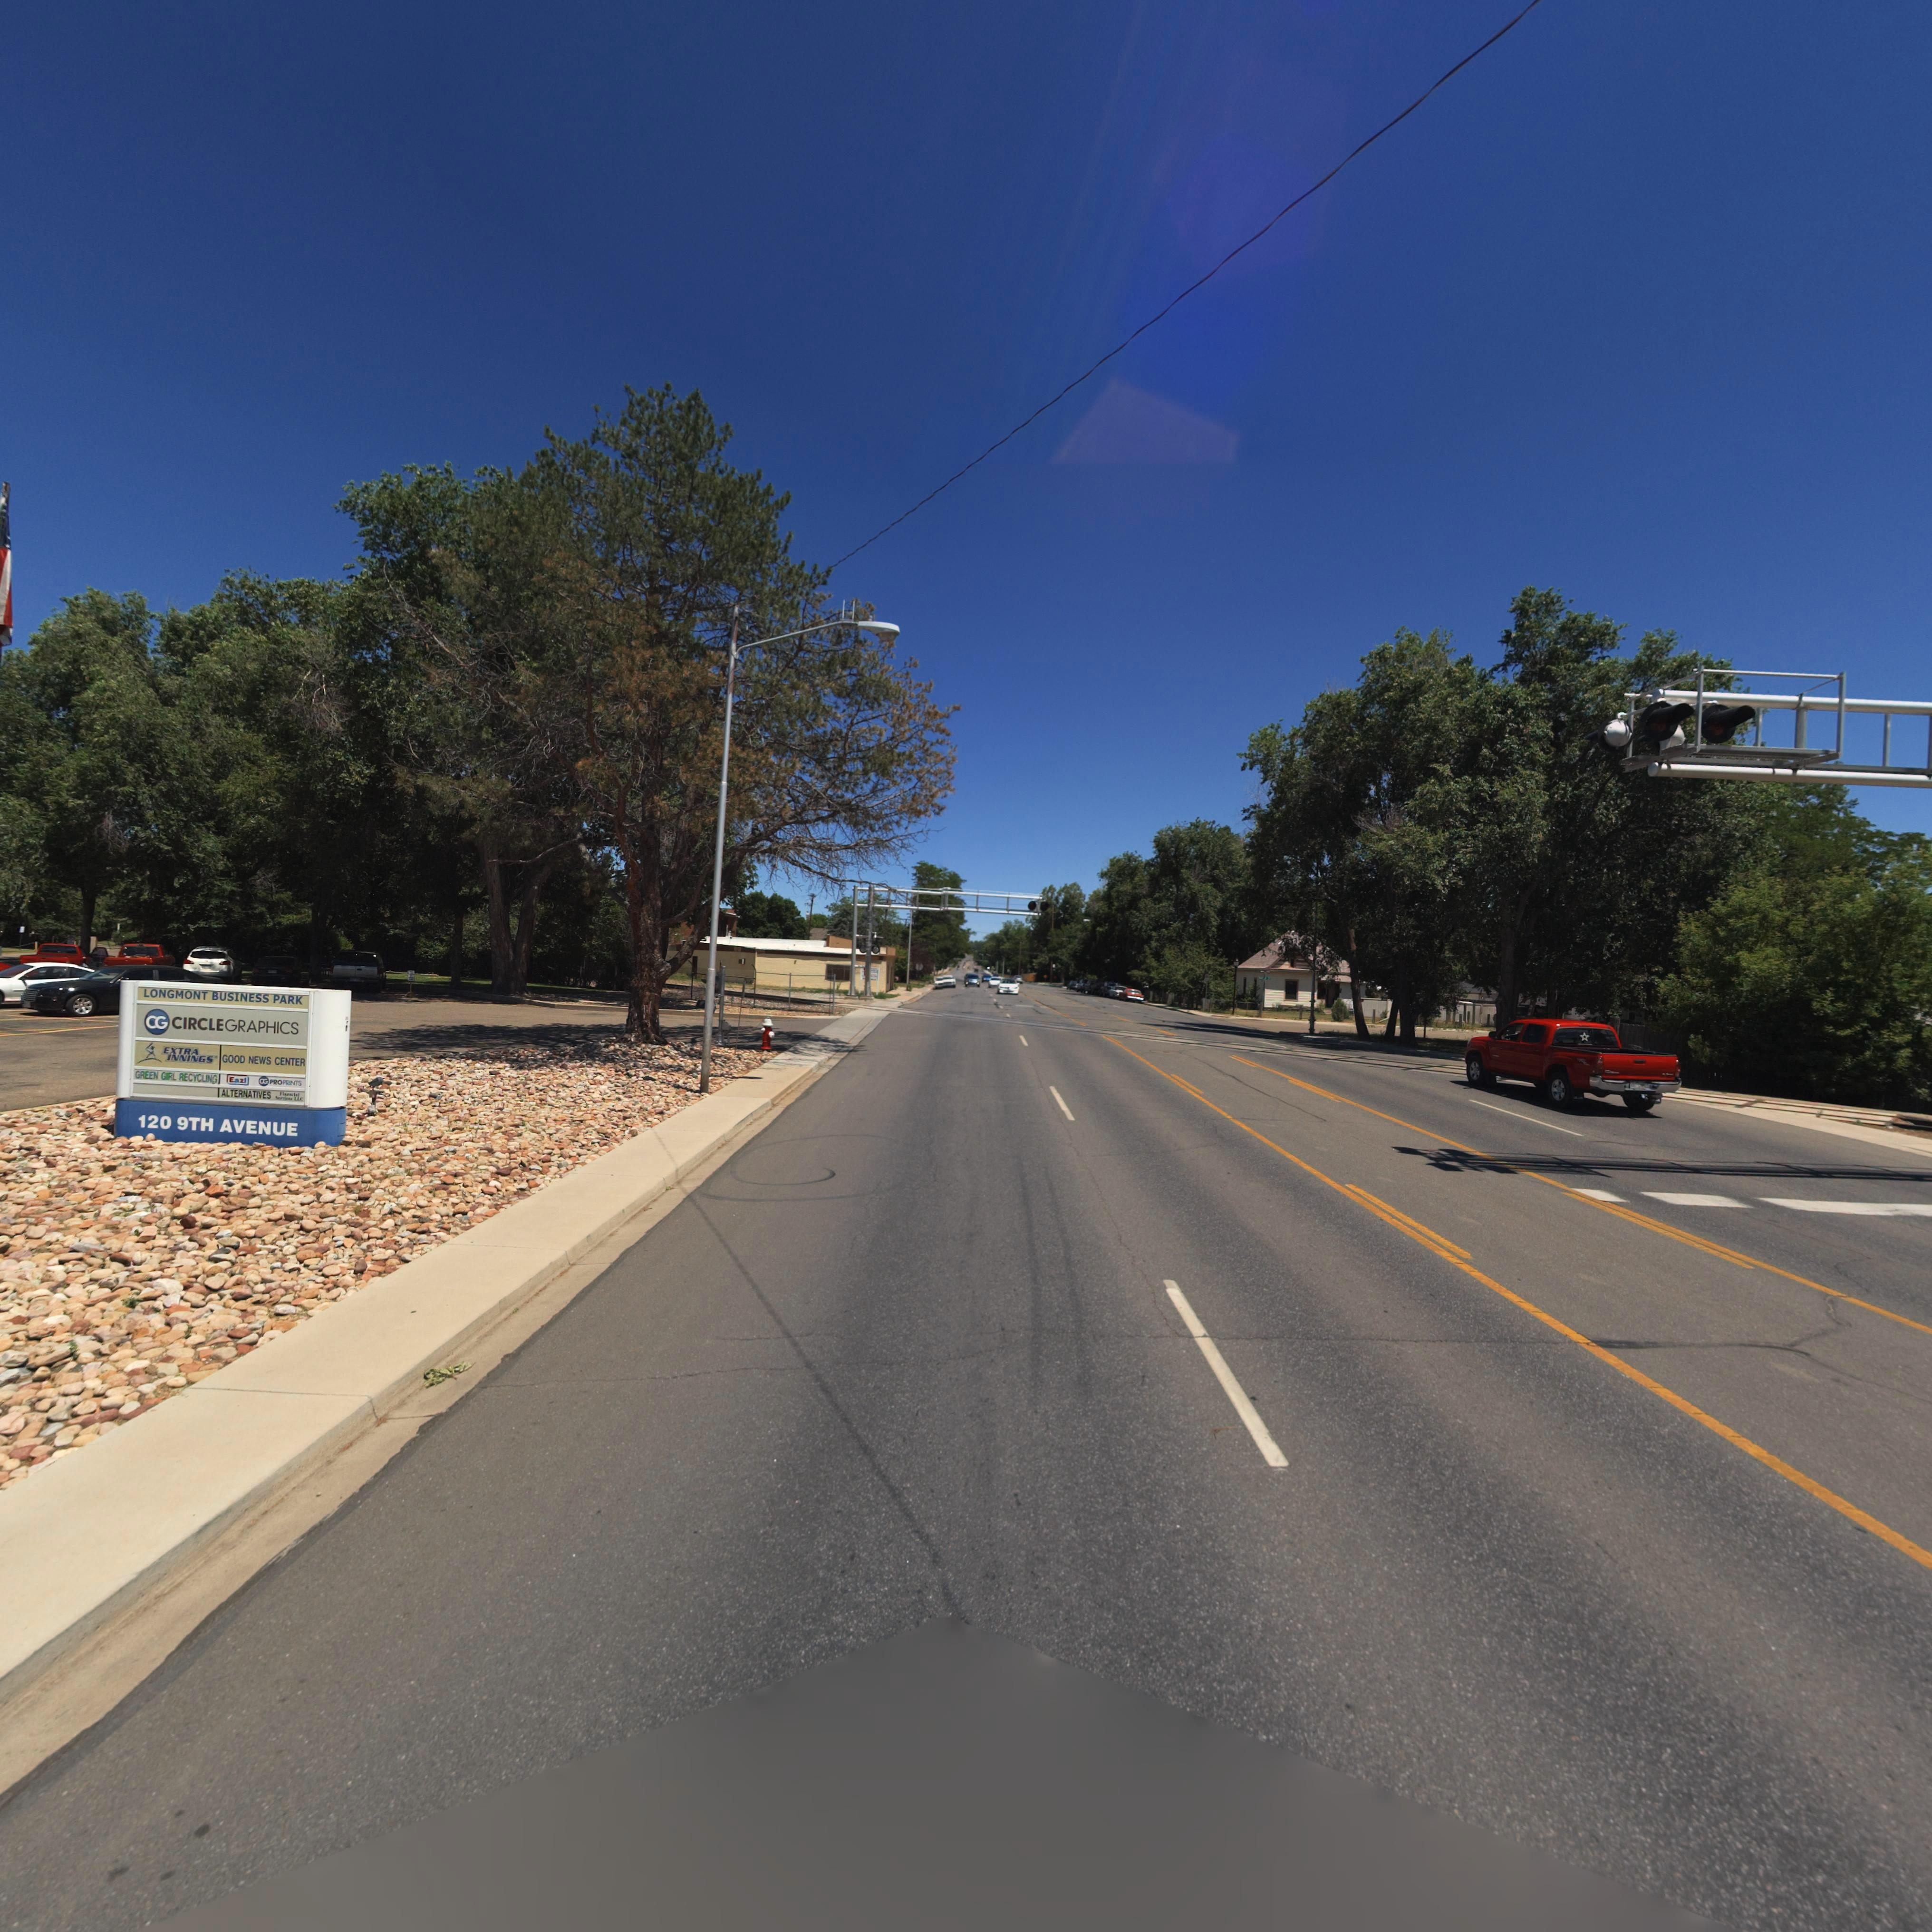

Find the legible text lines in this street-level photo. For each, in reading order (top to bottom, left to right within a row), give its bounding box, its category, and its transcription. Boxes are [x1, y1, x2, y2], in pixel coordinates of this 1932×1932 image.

[171, 1016, 299, 1035] BusinessName: CIRCLEGRAPHICS
[163, 1047, 198, 1055] BusinessName: EXTRA
[167, 1054, 213, 1063] BusinessName: INNINGS
[222, 1054, 305, 1066] BusinessName: GOOD NEWS CENTER
[135, 1070, 217, 1082] BusinessName: GREEN GIRL RECYCLING
[221, 1089, 271, 1099] BusinessName: ALTERNATIVES
[138, 1114, 172, 1130] StreetNumber: 120
[176, 1116, 298, 1137] StreetName: 9TH AVENUE